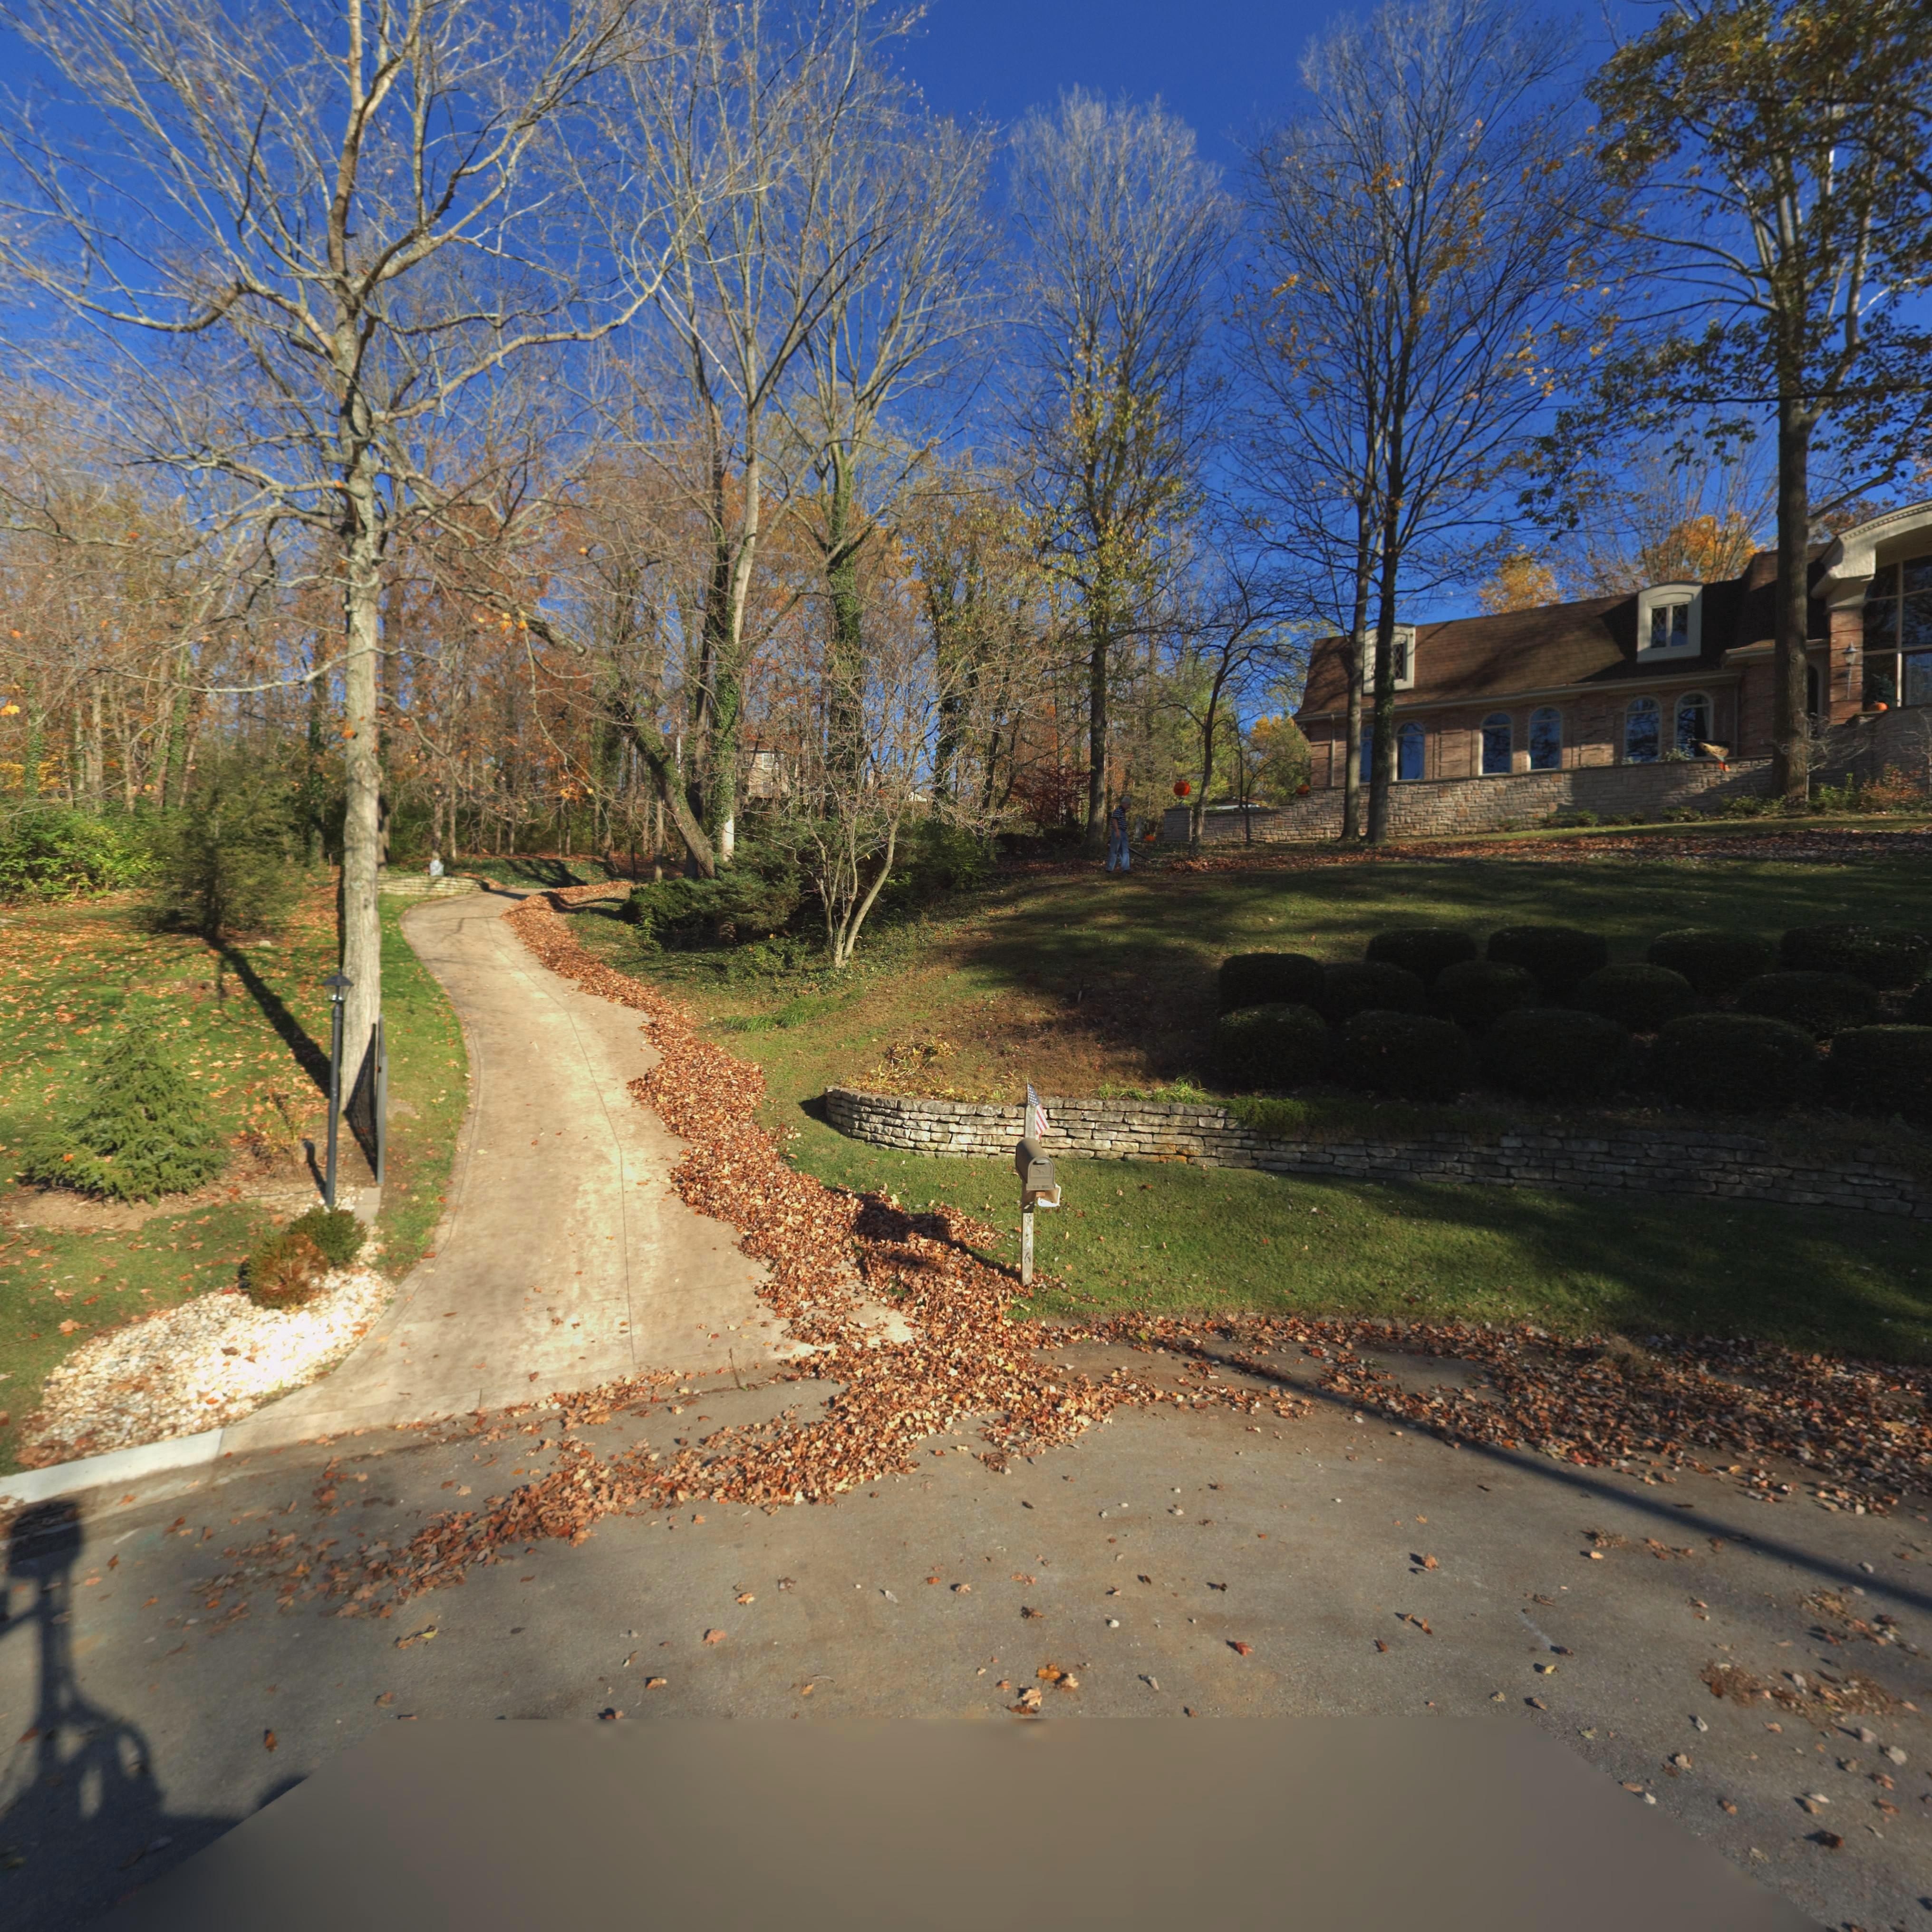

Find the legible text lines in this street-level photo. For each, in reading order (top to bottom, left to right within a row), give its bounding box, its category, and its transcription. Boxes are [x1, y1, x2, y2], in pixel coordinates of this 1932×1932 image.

[1022, 1207, 1032, 1265] StreetNumber: 8136